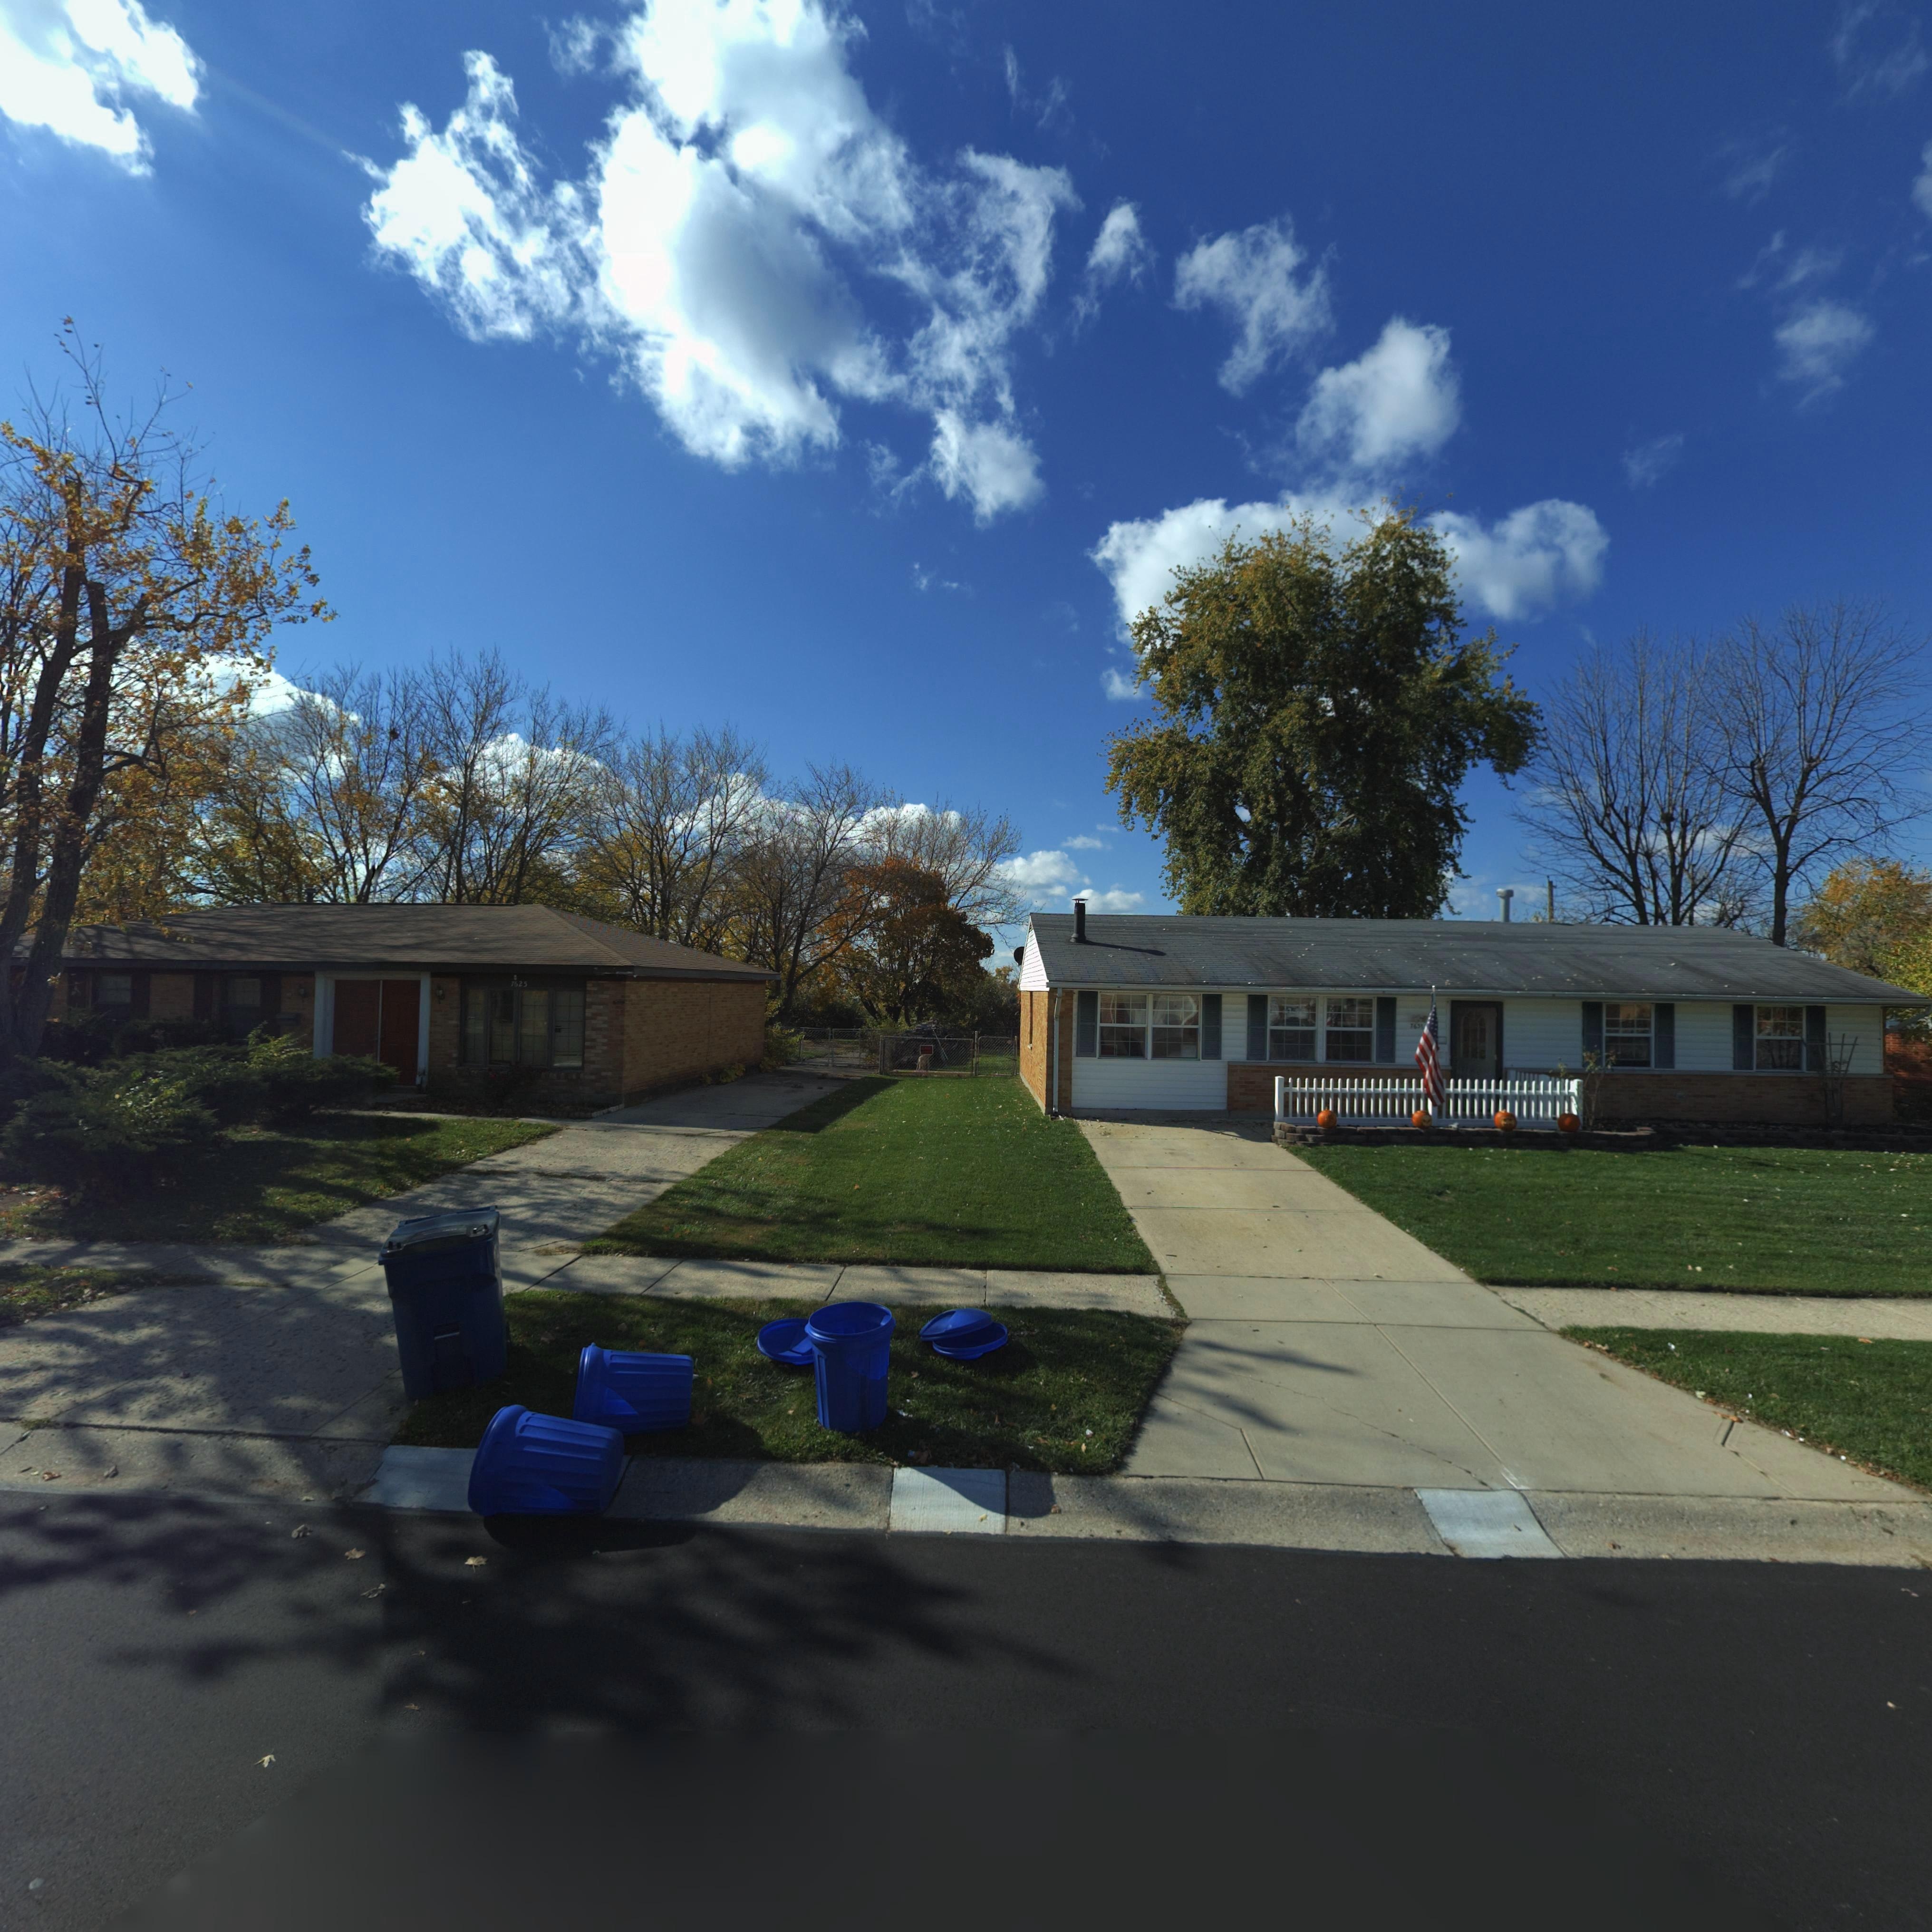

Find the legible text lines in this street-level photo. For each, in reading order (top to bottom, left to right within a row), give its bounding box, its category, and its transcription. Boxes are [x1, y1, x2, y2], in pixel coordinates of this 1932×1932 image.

[511, 981, 528, 987] StreetNumber: 7625
[1409, 1023, 1423, 1029] StreetNumber: 7631